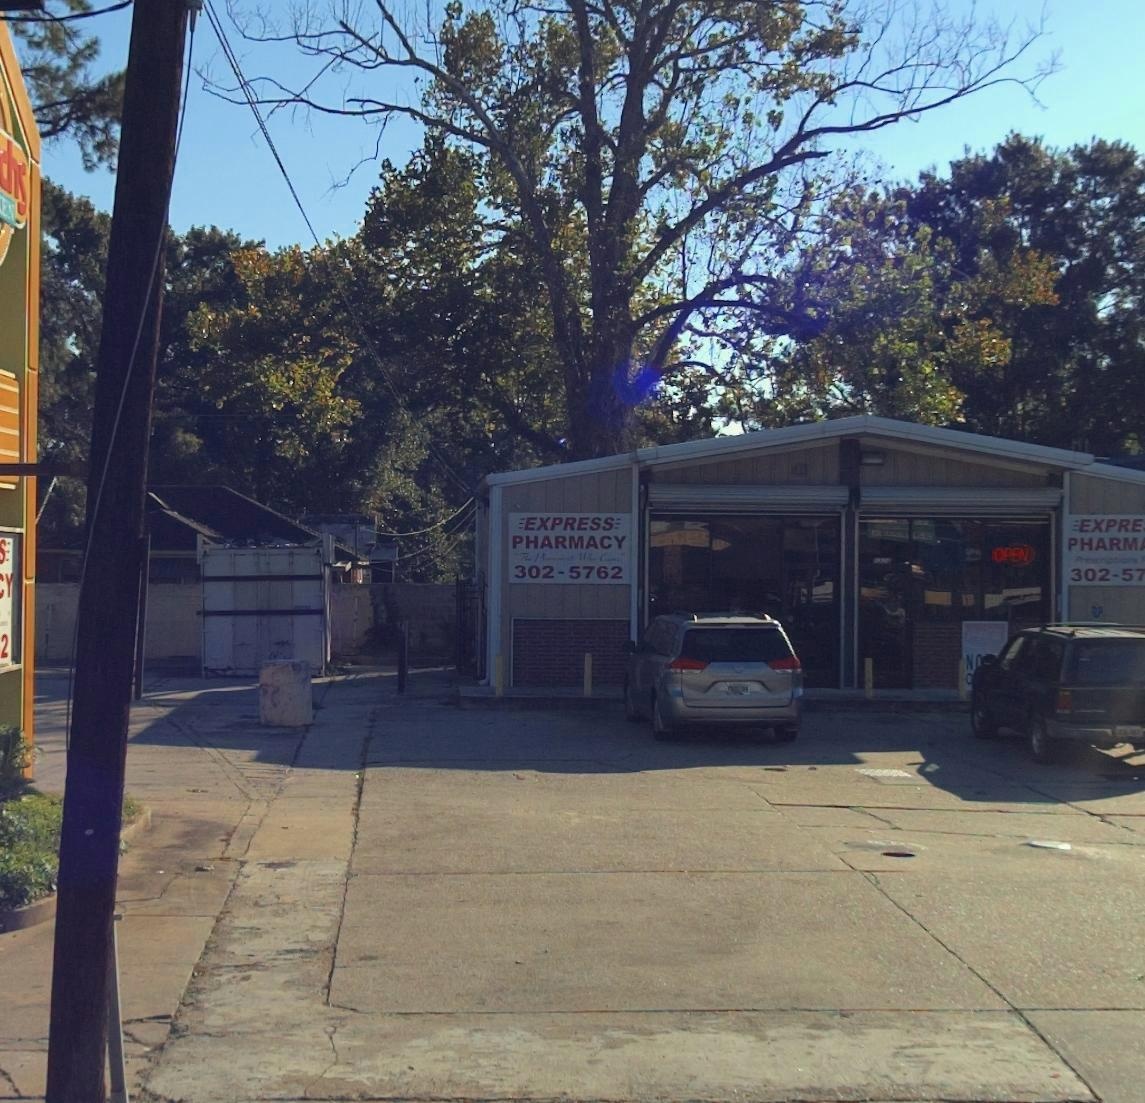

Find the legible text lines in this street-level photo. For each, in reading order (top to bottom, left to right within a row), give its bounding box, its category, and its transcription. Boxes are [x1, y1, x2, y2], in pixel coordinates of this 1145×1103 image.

[3, 131, 28, 222] BusinessName: hs
[522, 515, 619, 533] BusinessName: EXPRESS
[1075, 516, 1145, 535] BusinessName: EXPRE
[510, 532, 630, 552] BusinessName: PHARMACY
[1065, 534, 1143, 554] BusinessName: PHARM
[990, 545, 1032, 565] None: OPEN
[511, 563, 625, 582] None: 302-5762
[1068, 565, 1139, 584] None: 302-5
[1, 570, 17, 602] None: Y
[0, 631, 11, 661] None: 2
[963, 651, 976, 674] None: N